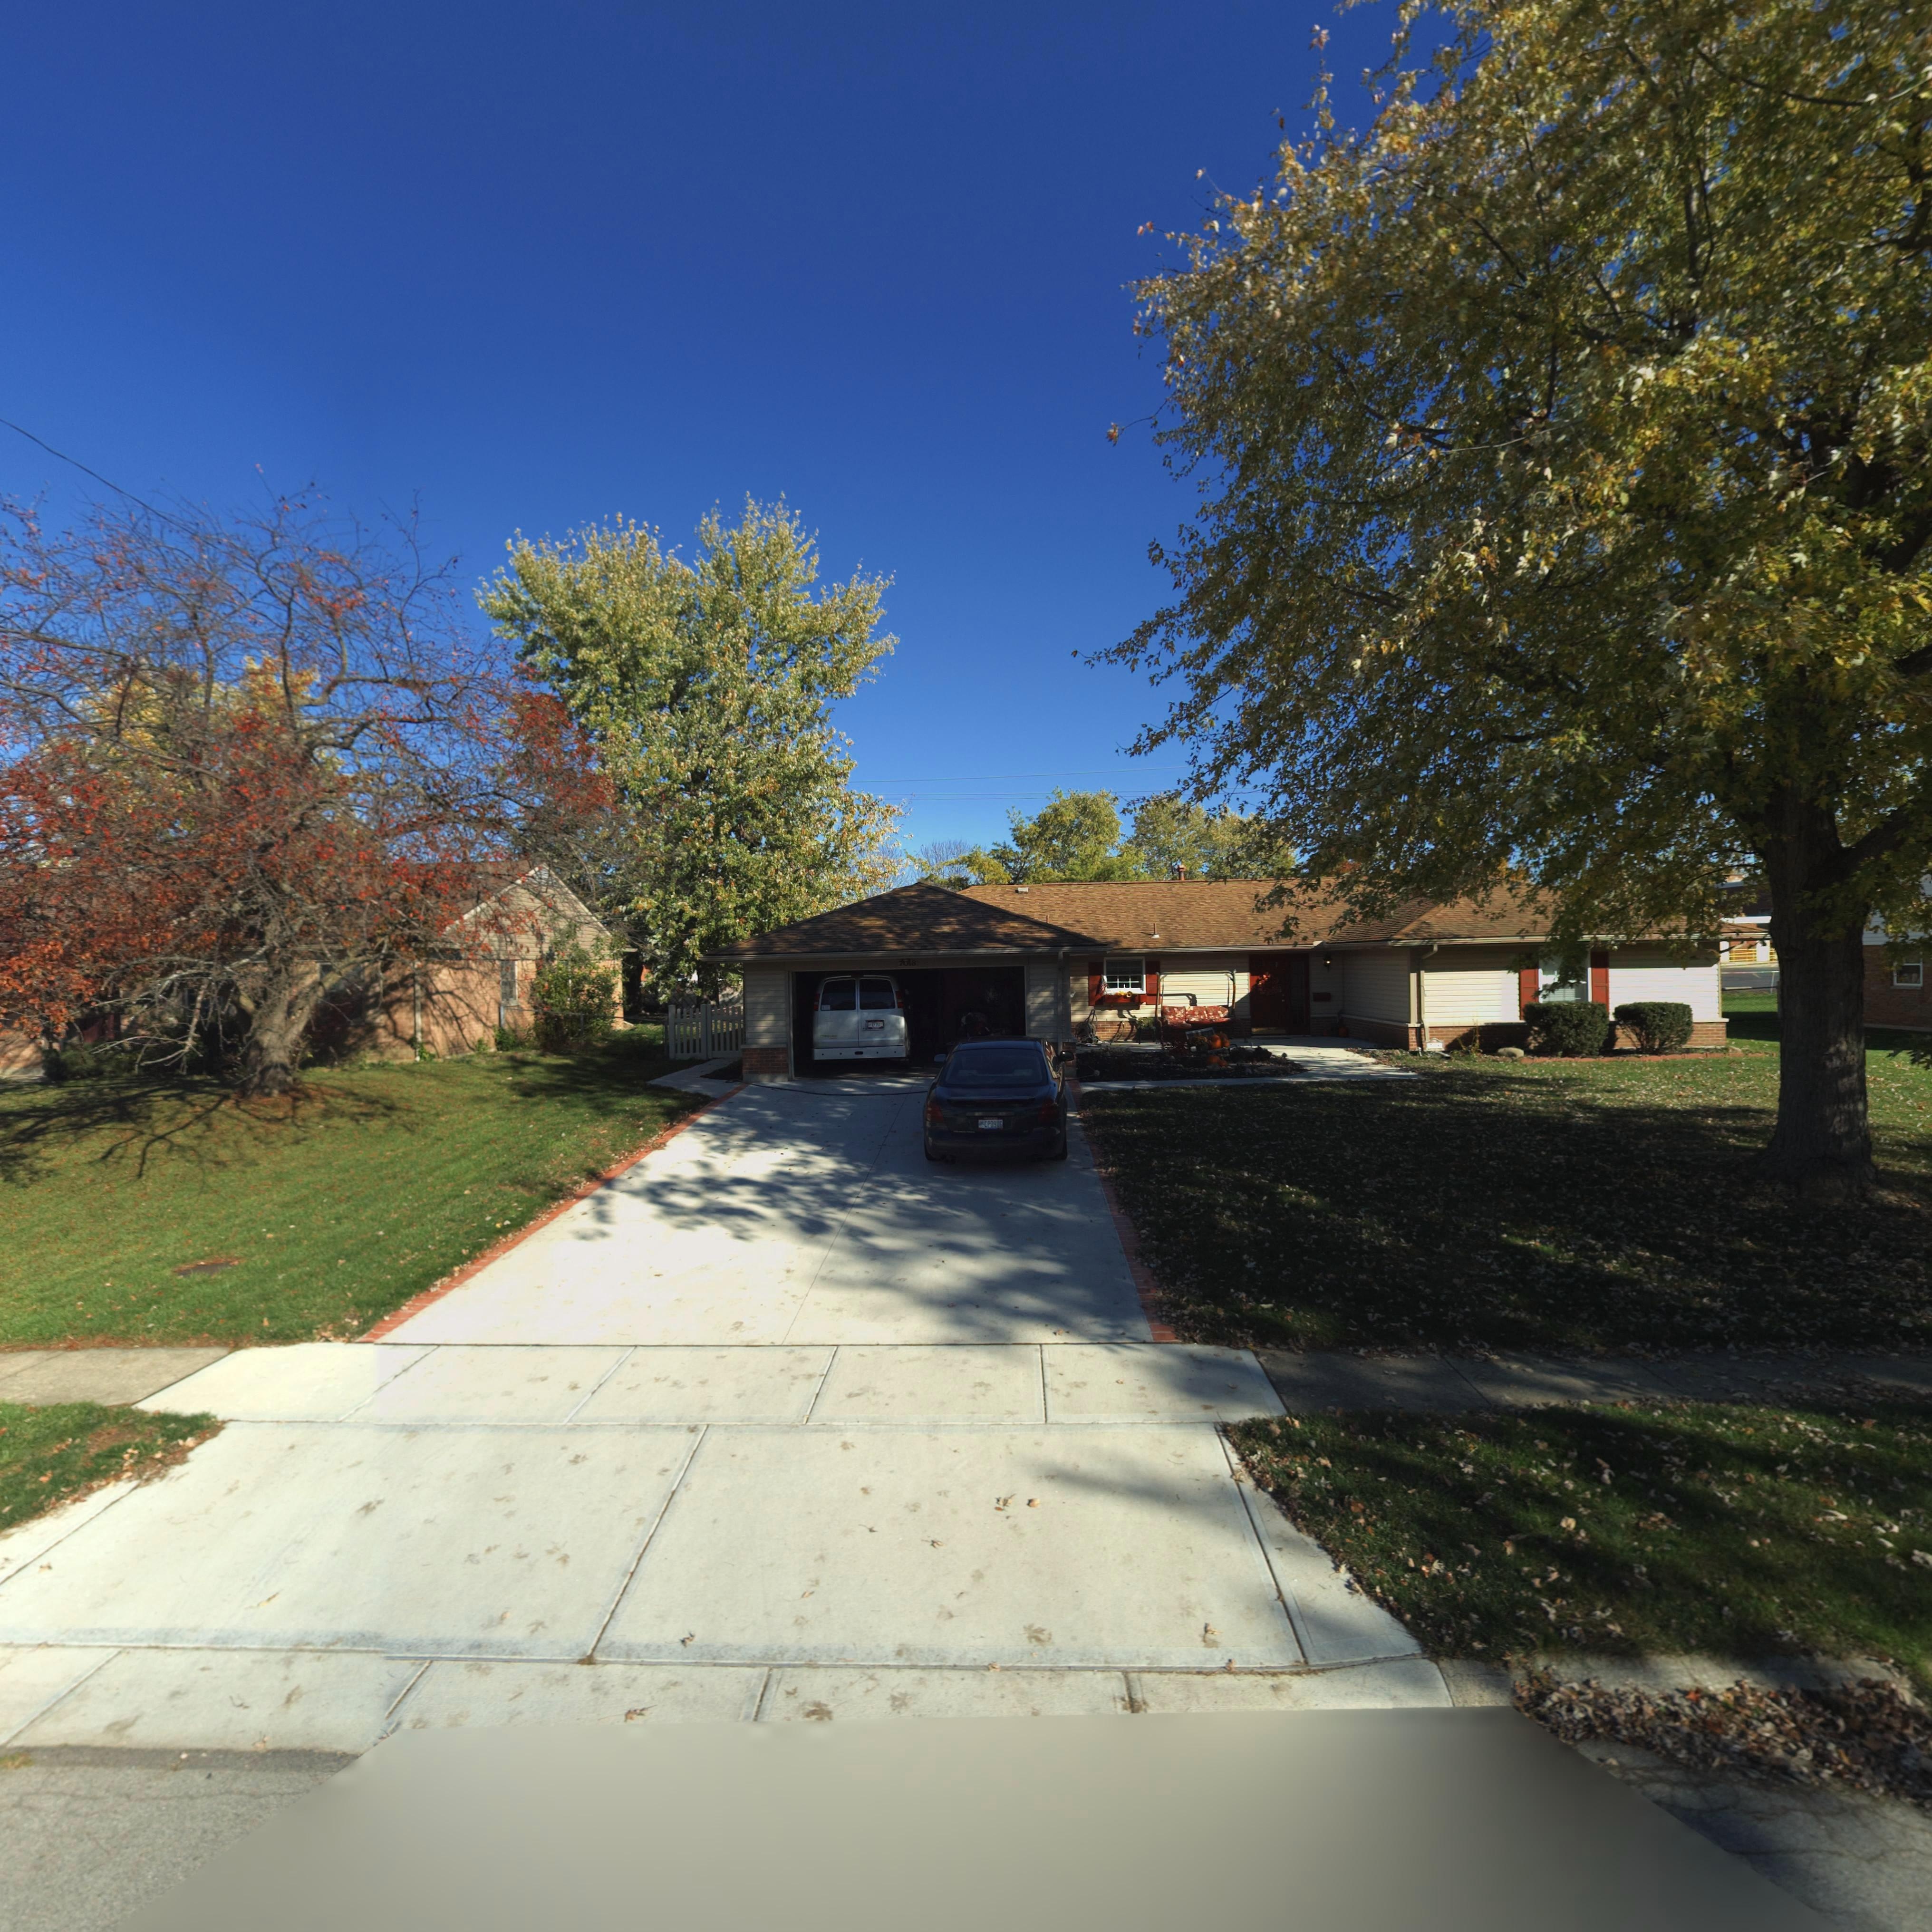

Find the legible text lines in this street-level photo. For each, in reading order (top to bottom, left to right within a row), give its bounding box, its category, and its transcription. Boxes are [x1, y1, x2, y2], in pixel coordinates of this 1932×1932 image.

[898, 959, 916, 966] StreetNumber: 7018